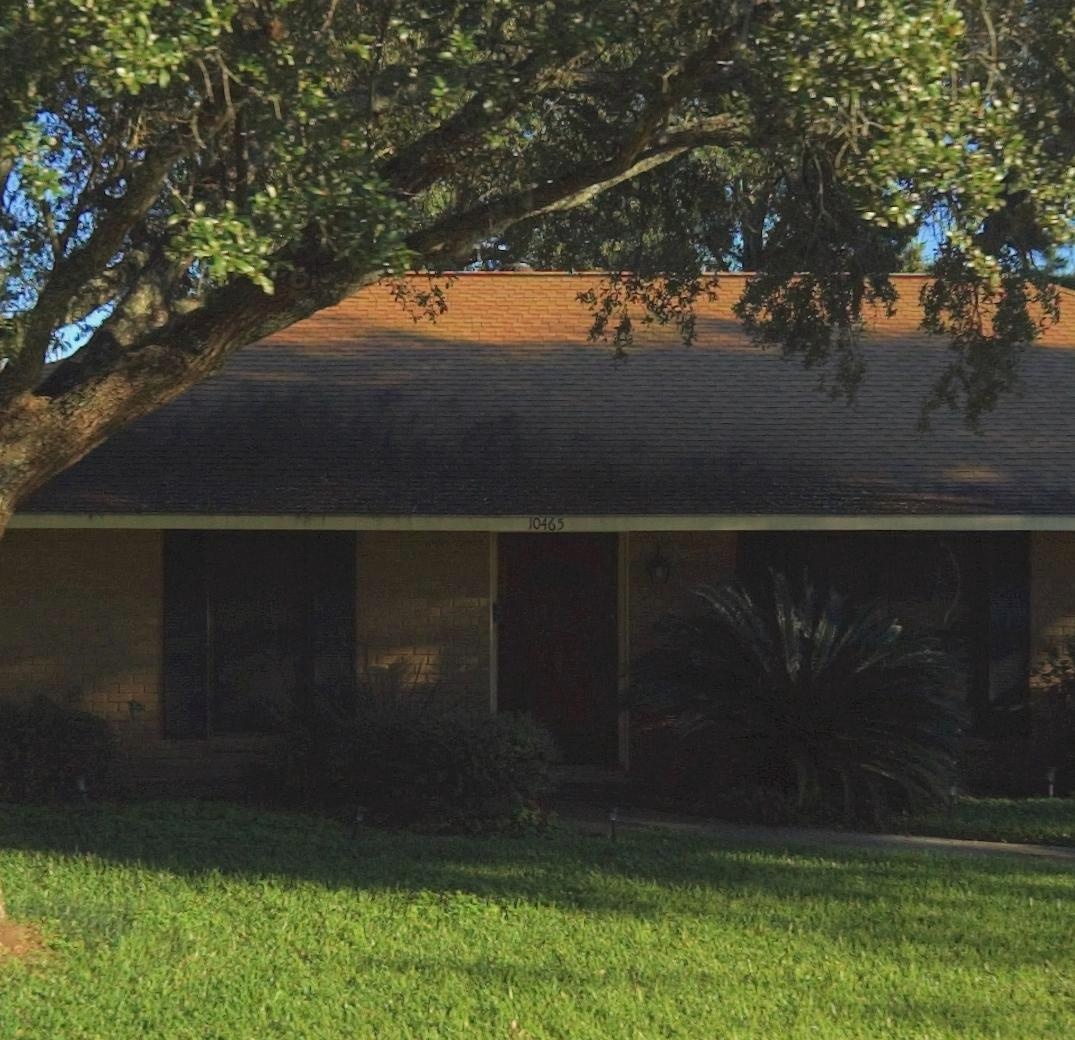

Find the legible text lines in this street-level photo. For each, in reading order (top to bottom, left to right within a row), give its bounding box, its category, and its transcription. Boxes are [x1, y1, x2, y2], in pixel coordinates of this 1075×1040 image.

[527, 516, 566, 533] StreetNumber: 10465